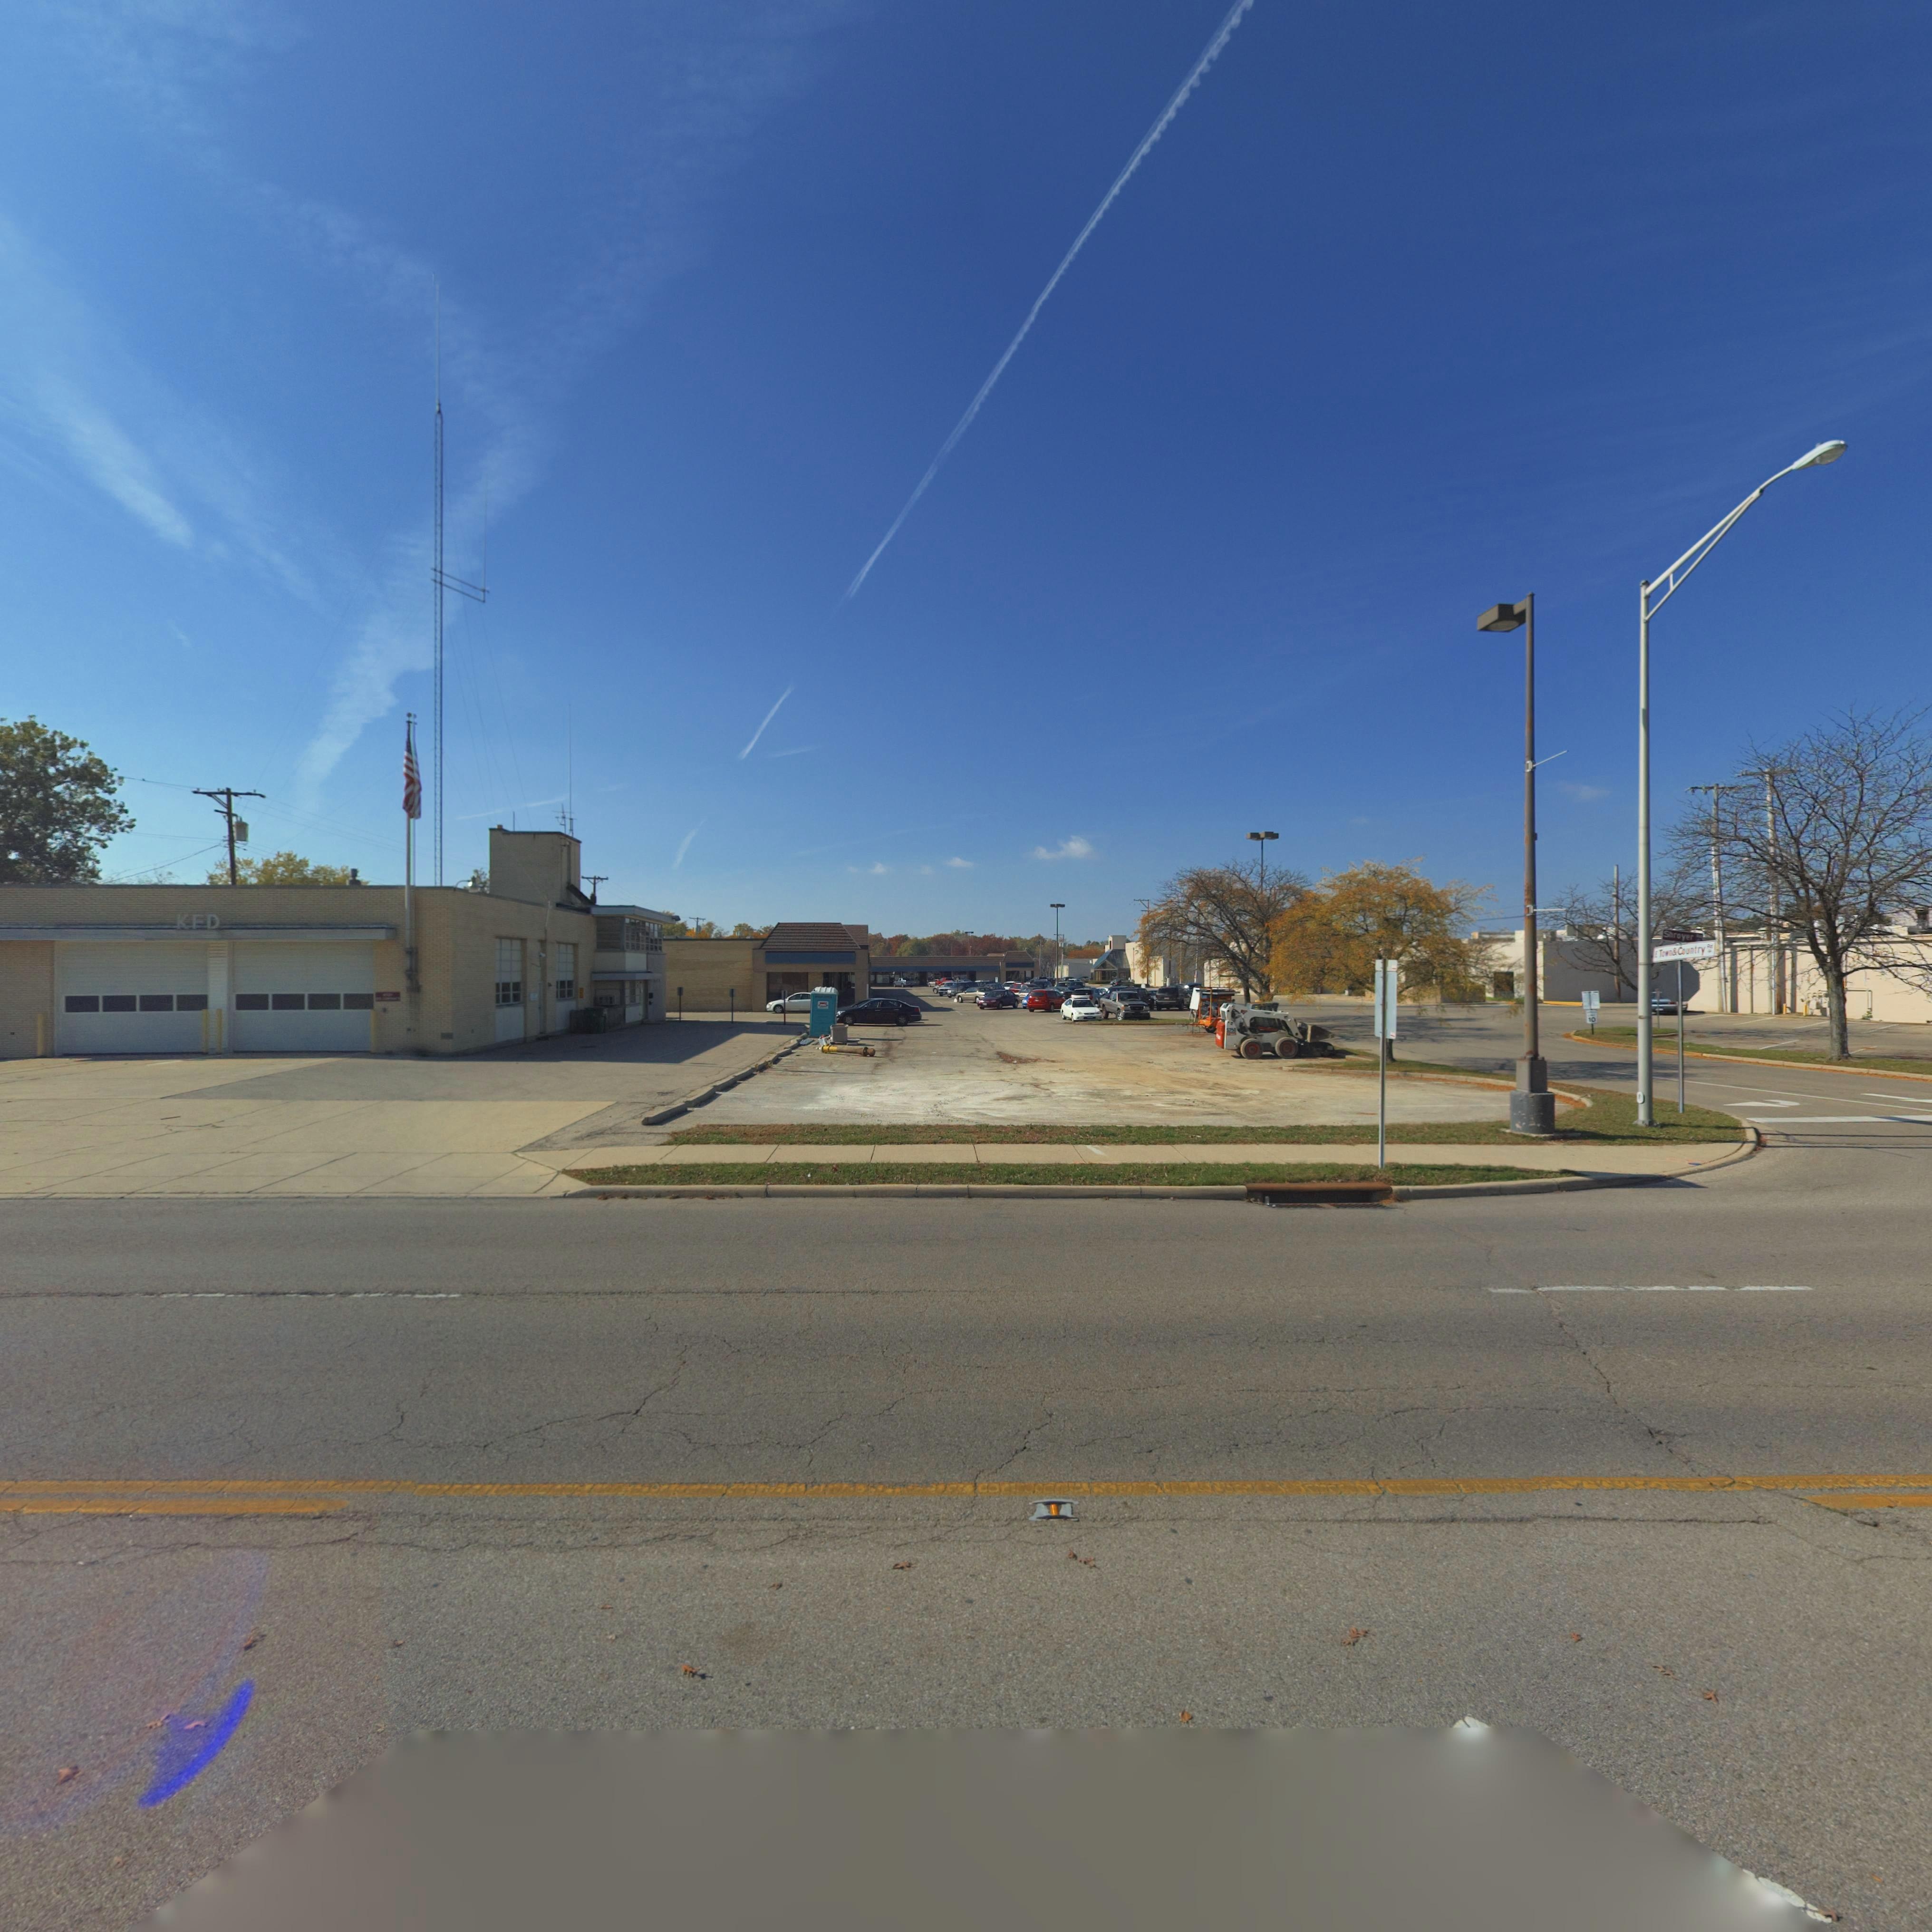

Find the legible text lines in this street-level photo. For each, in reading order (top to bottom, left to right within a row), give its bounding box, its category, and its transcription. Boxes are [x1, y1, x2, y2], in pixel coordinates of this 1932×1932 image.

[176, 914, 221, 930] None: KFD
[1663, 930, 1694, 942] StreetName: Shroyer
[1654, 946, 1706, 958] StreetName: E Town & Country
[1587, 1017, 1596, 1022] None: 10